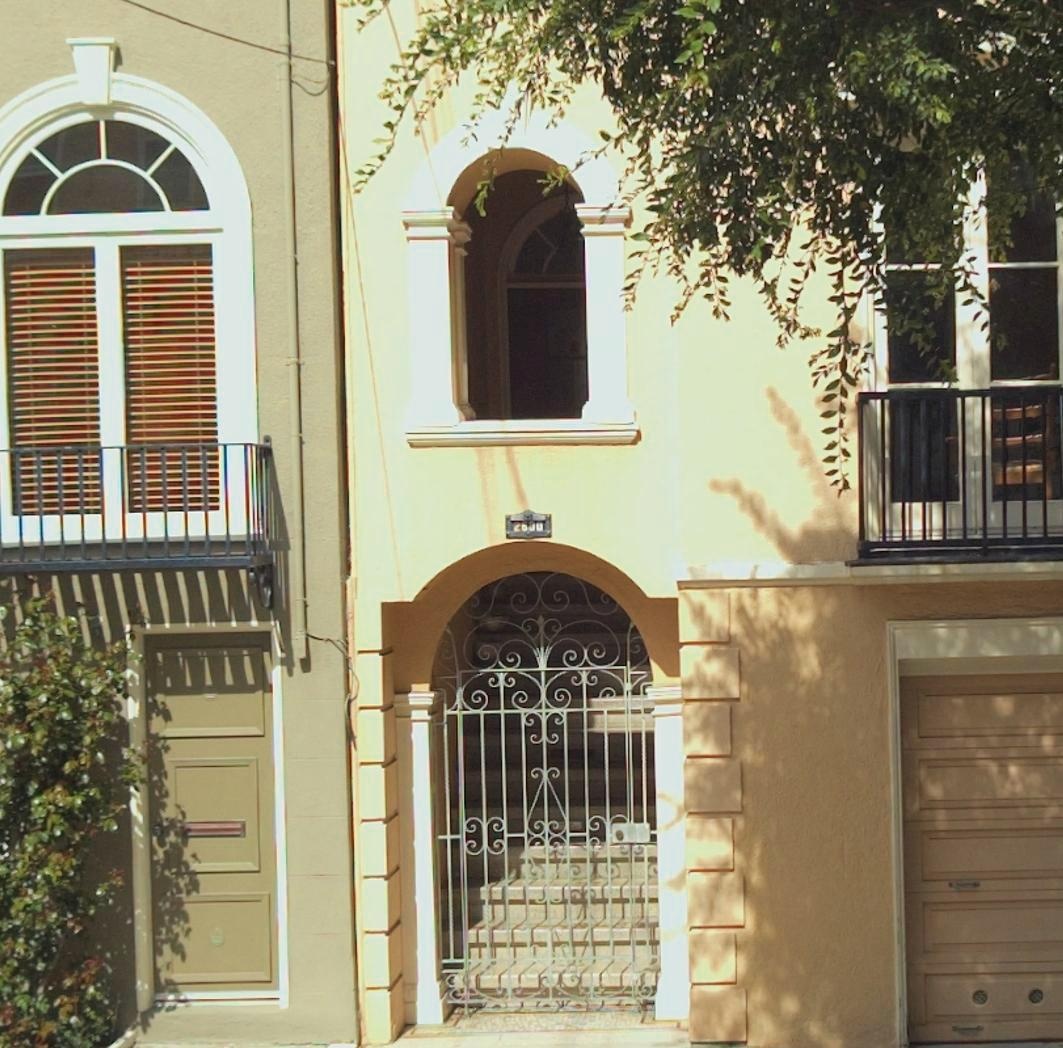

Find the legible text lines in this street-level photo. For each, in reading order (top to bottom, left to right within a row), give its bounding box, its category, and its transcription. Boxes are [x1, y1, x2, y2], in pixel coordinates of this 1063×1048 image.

[511, 518, 545, 534] StreetNumber: 2630